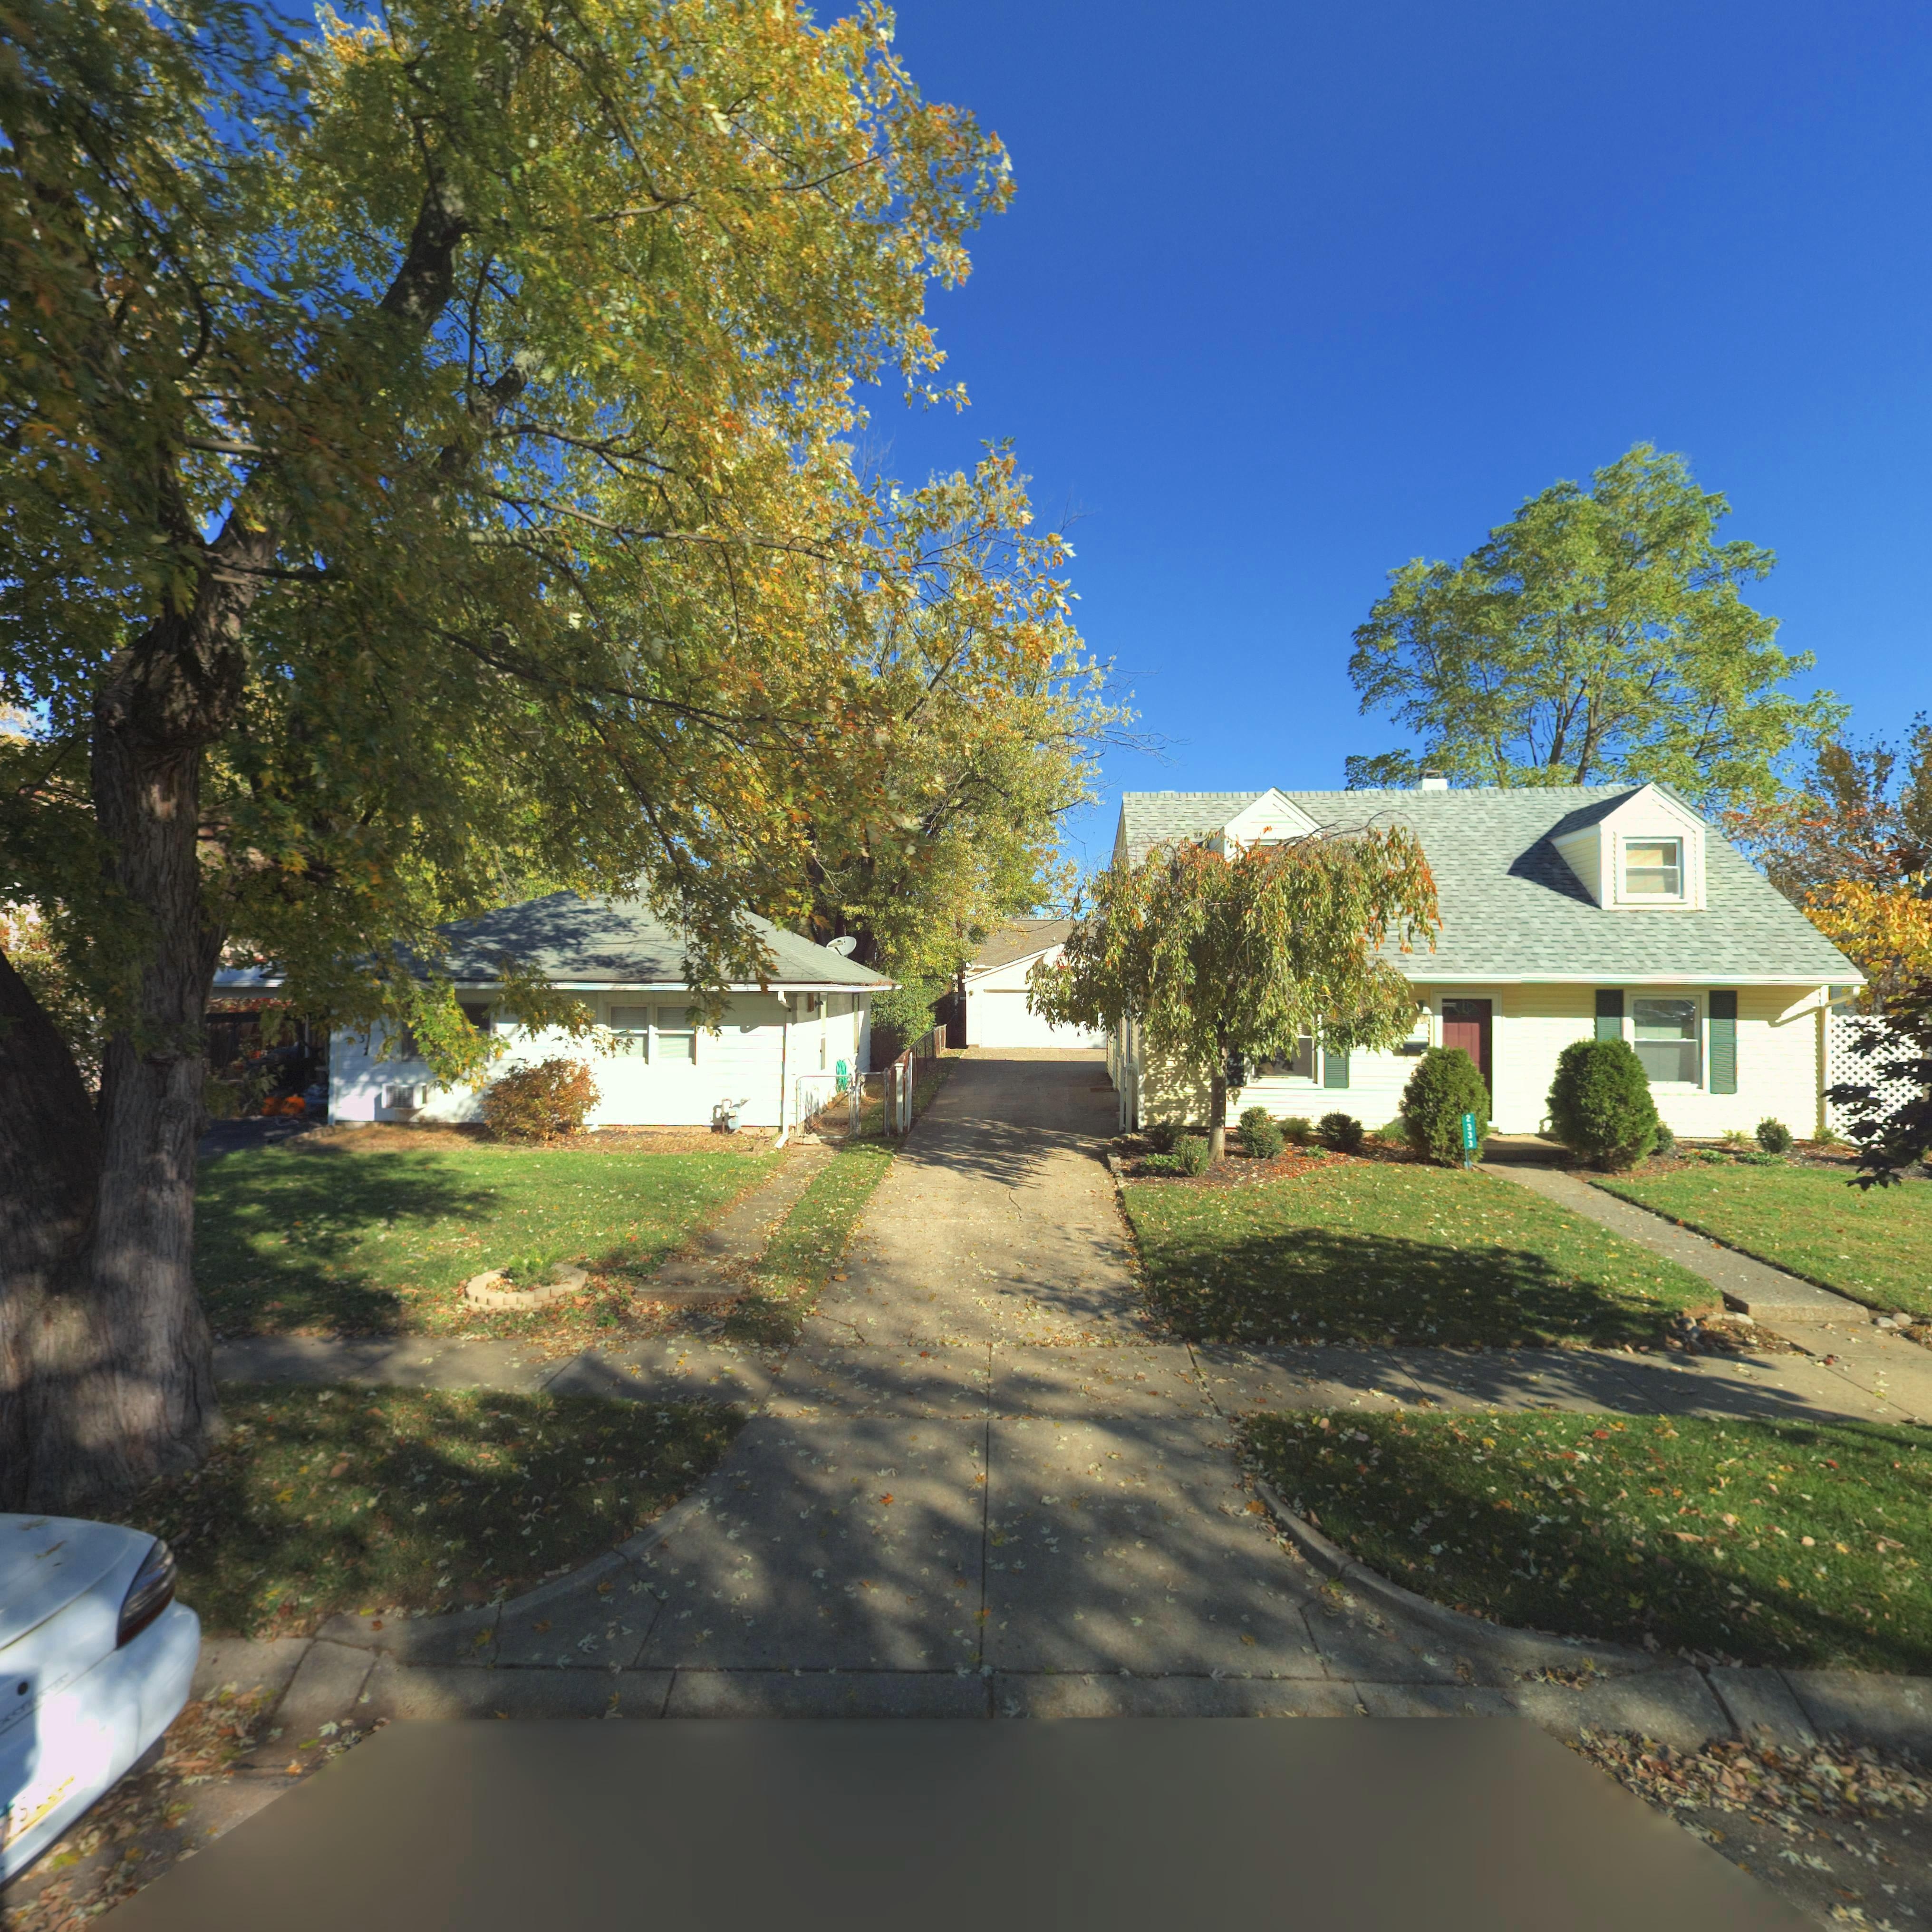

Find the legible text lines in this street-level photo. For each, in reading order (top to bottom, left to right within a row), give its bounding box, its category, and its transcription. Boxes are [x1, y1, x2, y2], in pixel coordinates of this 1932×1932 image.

[1464, 1113, 1474, 1149] StreetNumber: 2333